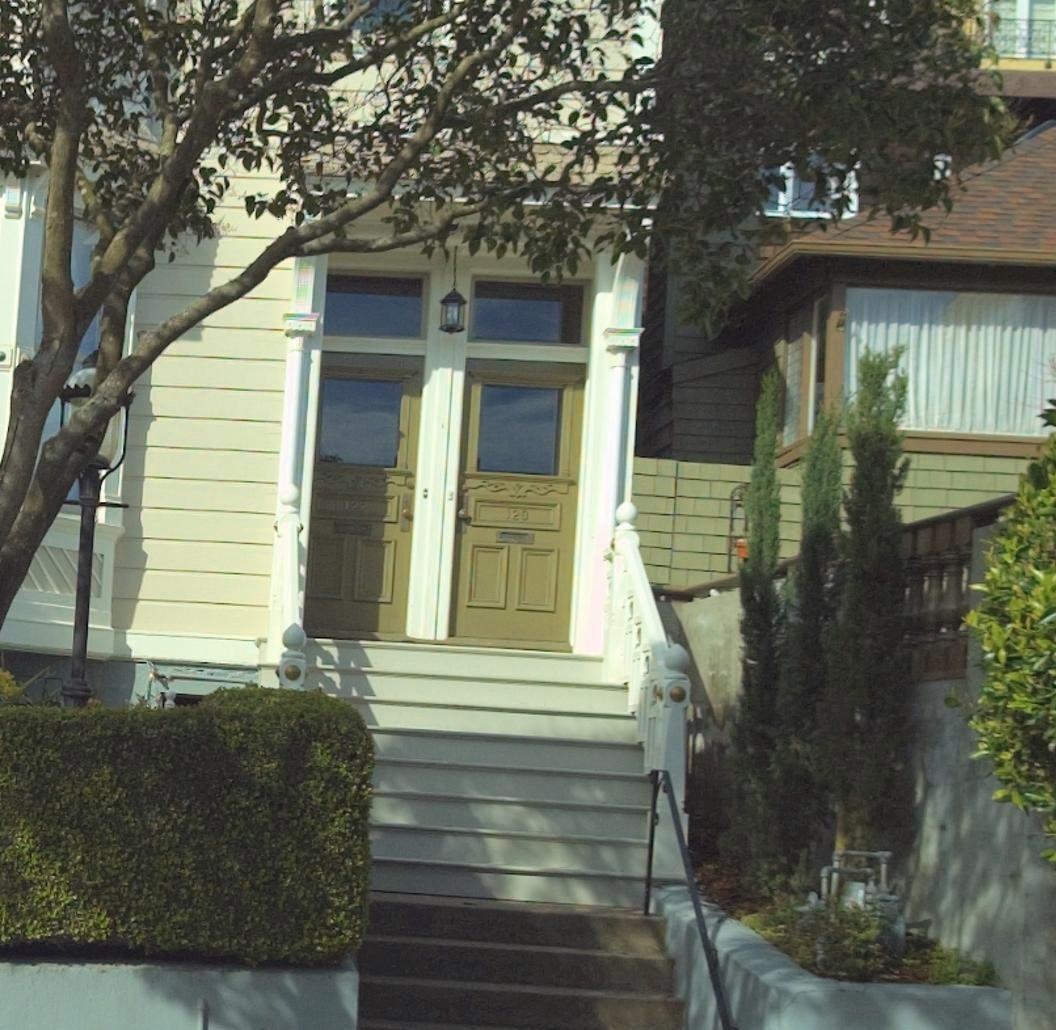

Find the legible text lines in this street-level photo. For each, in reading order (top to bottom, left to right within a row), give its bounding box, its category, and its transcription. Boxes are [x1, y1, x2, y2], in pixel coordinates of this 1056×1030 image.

[344, 499, 368, 513] StreetNumber: 122
[505, 506, 529, 522] StreetNumber: 120